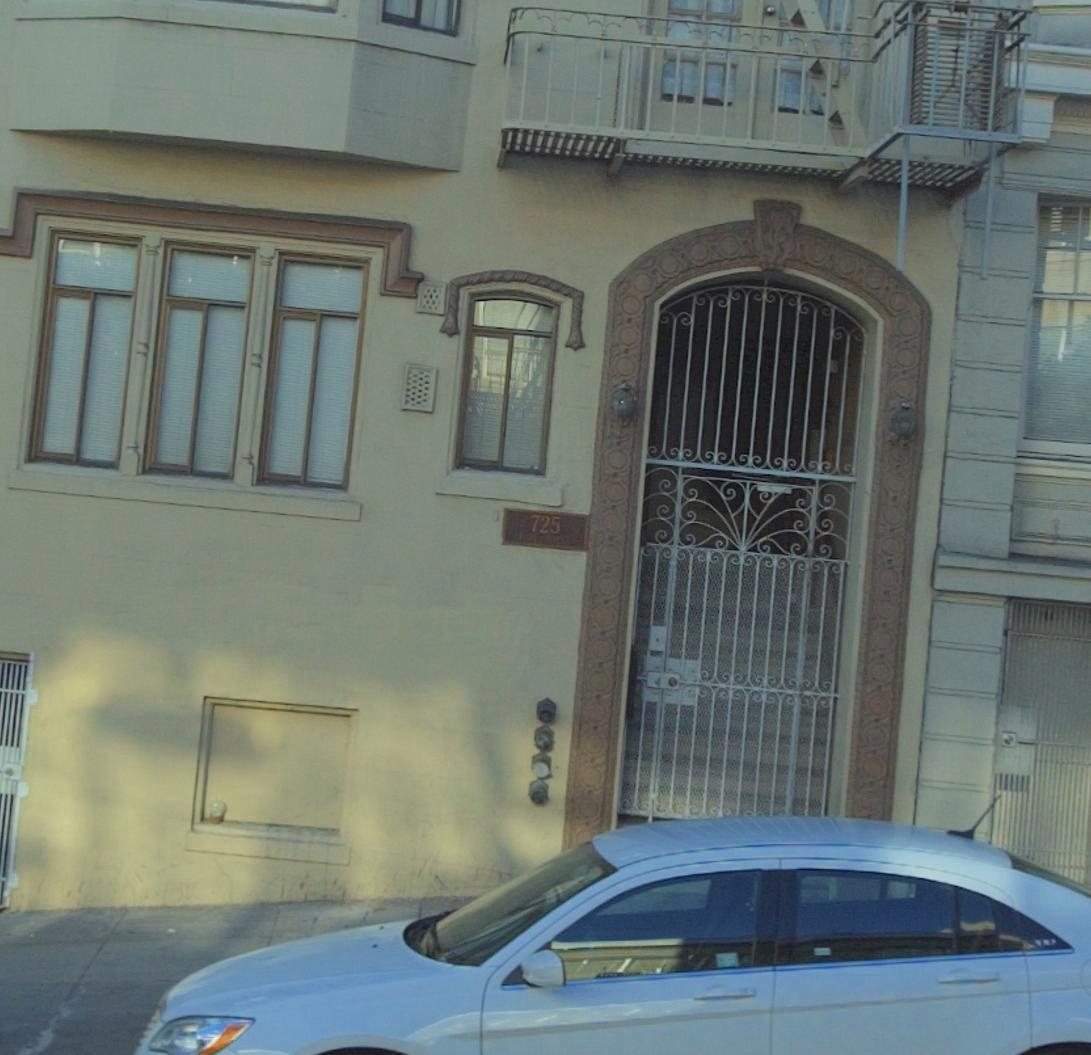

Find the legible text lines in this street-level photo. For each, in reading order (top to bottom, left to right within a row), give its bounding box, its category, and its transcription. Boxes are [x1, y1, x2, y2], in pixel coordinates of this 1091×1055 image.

[529, 513, 562, 536] StreetNumber: 725